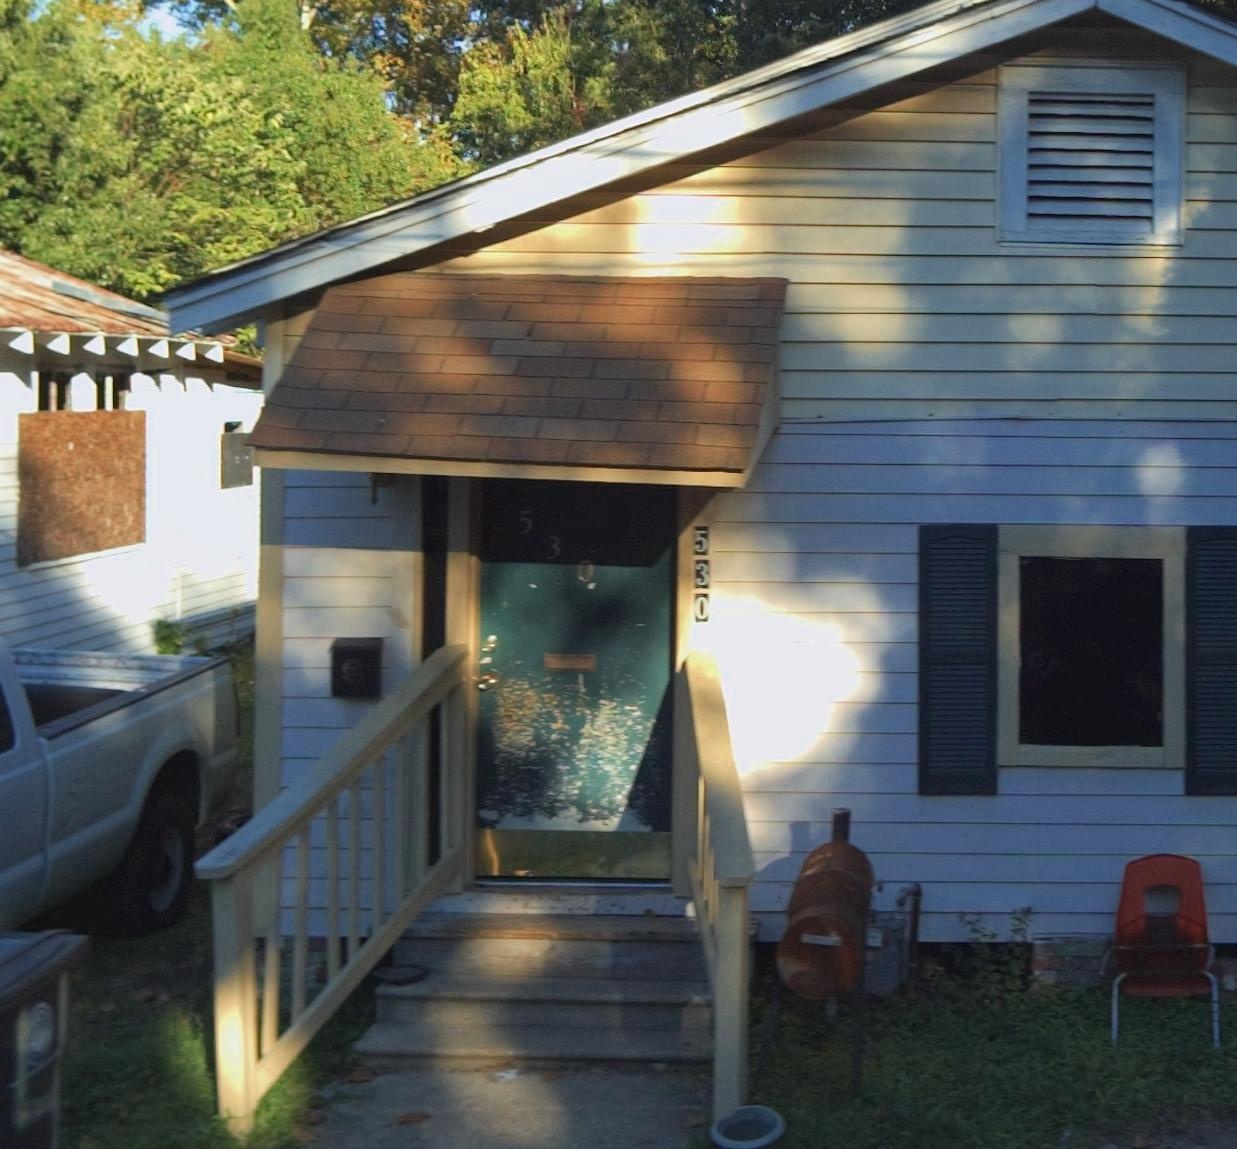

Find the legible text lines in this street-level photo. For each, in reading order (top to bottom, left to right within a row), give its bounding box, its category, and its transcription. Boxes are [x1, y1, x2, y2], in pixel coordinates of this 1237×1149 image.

[514, 507, 597, 585] StreetNumber: 530
[692, 527, 712, 621] StreetNumber: 530